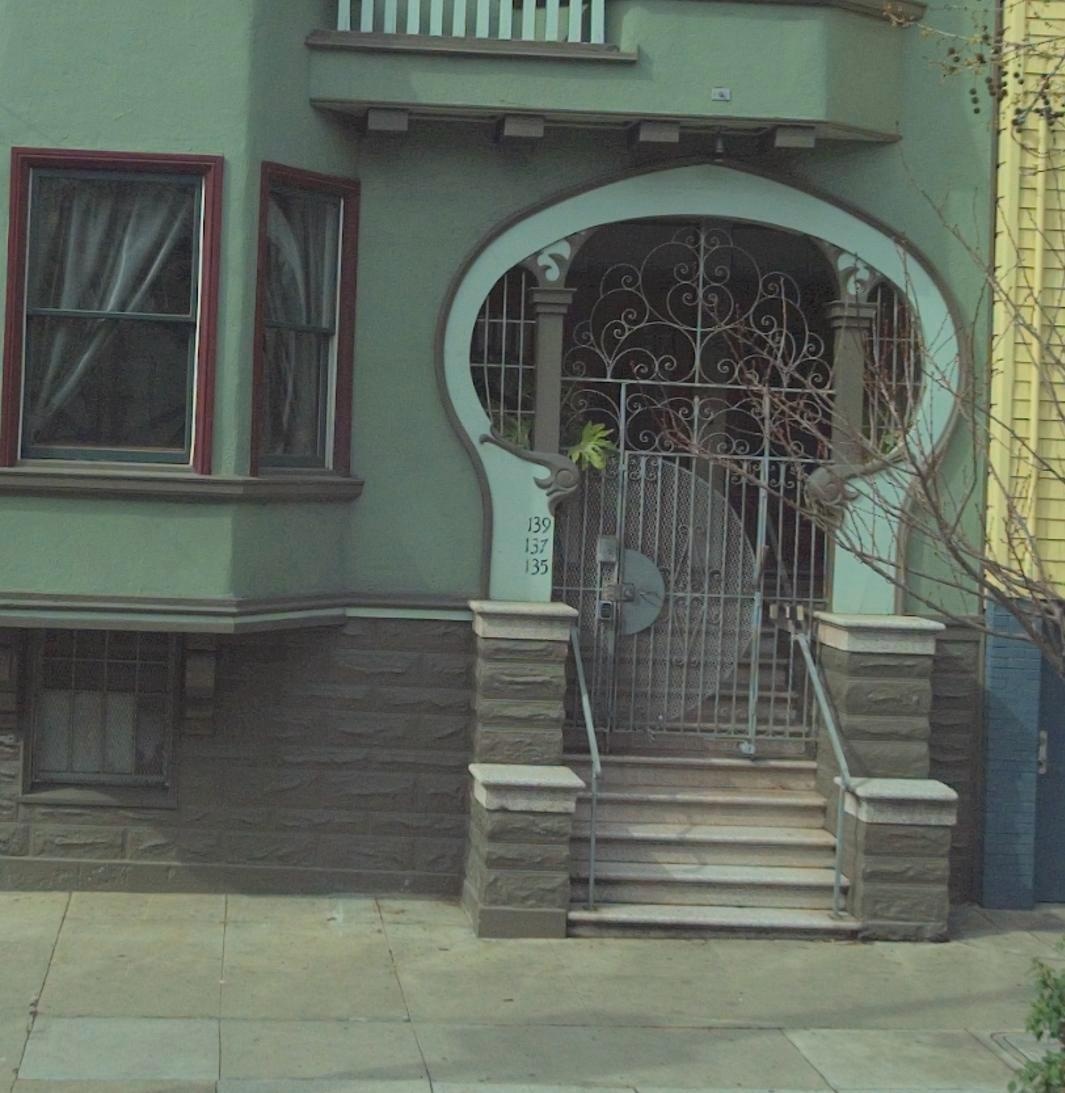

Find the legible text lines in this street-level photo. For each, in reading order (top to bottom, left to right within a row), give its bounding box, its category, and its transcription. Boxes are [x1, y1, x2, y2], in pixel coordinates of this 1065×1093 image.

[526, 514, 553, 535] StreetNumber: 139
[523, 535, 550, 556] StreetNumber: 137
[523, 556, 550, 577] StreetNumber: 135